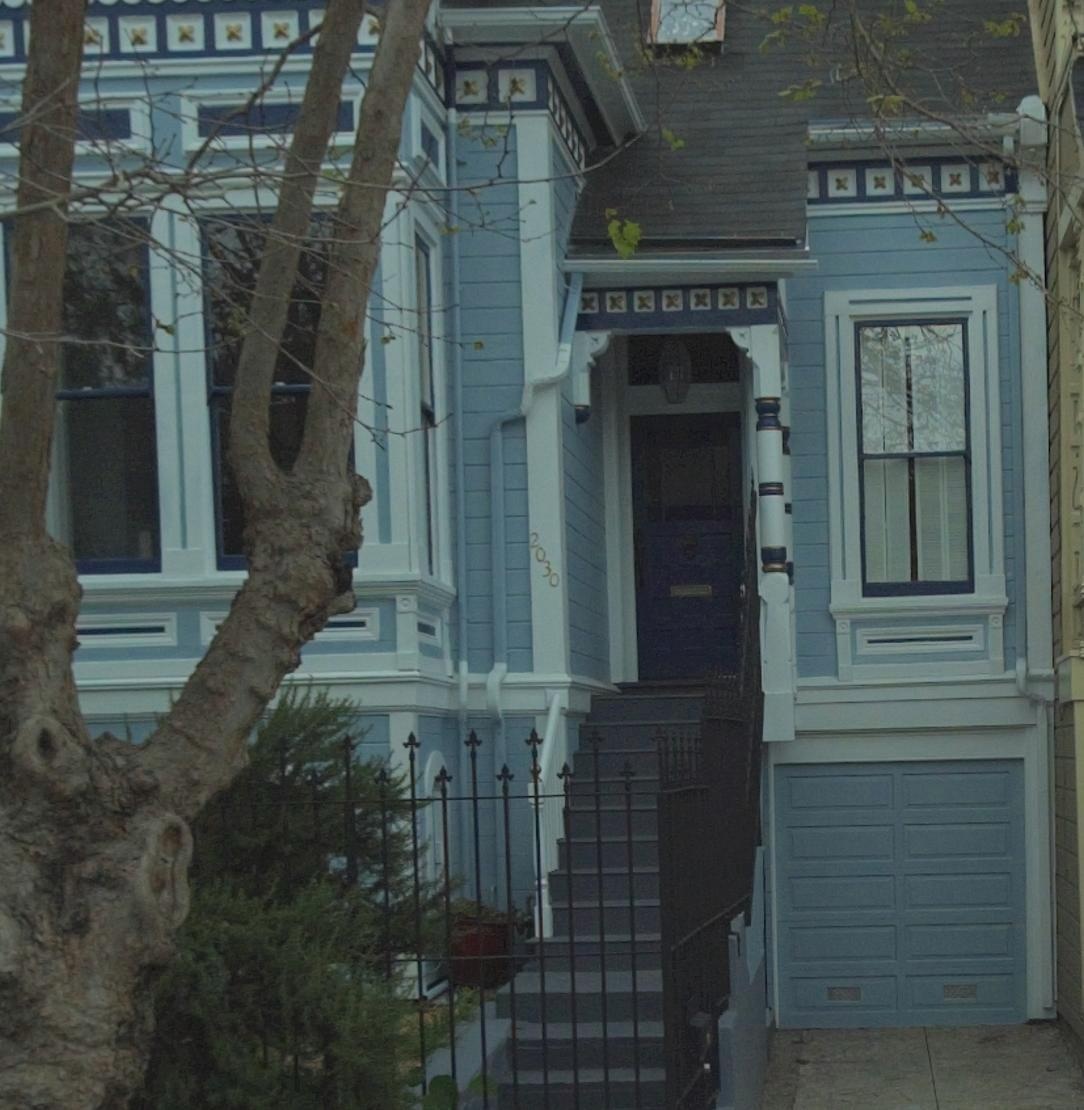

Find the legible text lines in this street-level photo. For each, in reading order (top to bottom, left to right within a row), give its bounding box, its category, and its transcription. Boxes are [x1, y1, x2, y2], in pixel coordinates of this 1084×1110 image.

[522, 528, 565, 591] StreetNumber: 2030